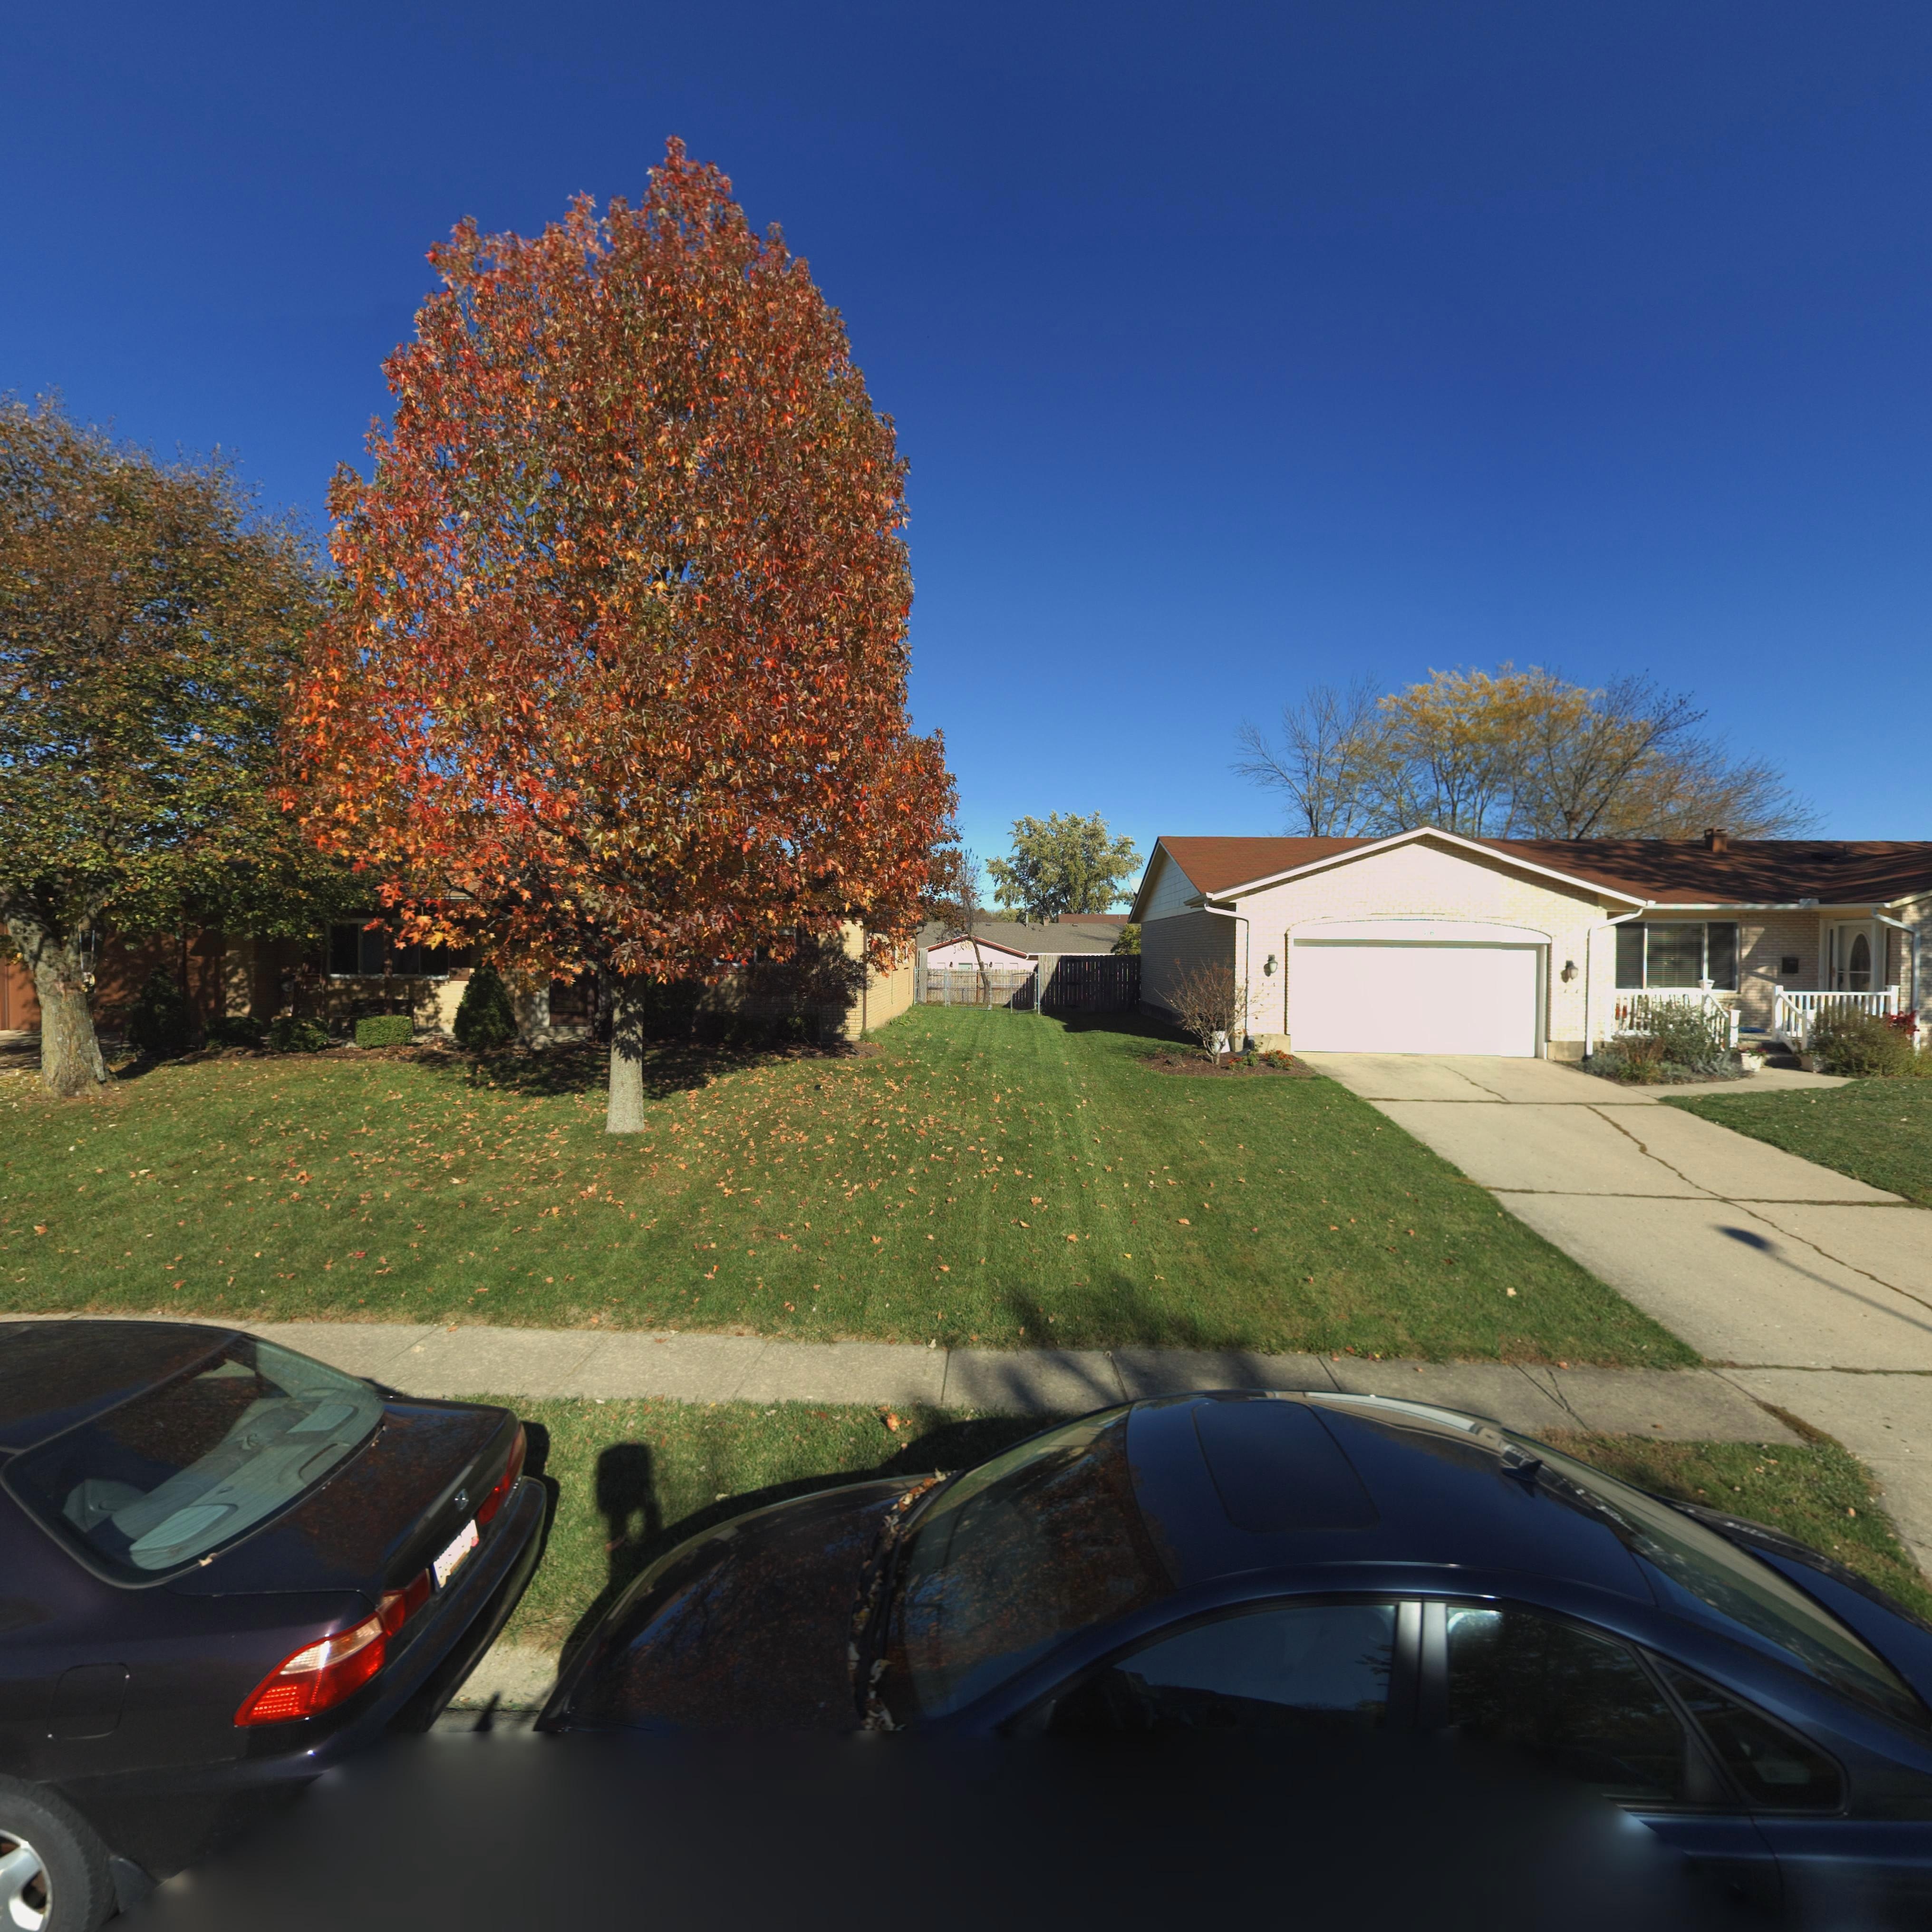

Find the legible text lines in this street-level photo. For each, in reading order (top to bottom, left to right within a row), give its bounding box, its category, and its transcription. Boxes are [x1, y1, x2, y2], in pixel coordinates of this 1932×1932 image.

[1429, 929, 1435, 937] StreetNumber: 6